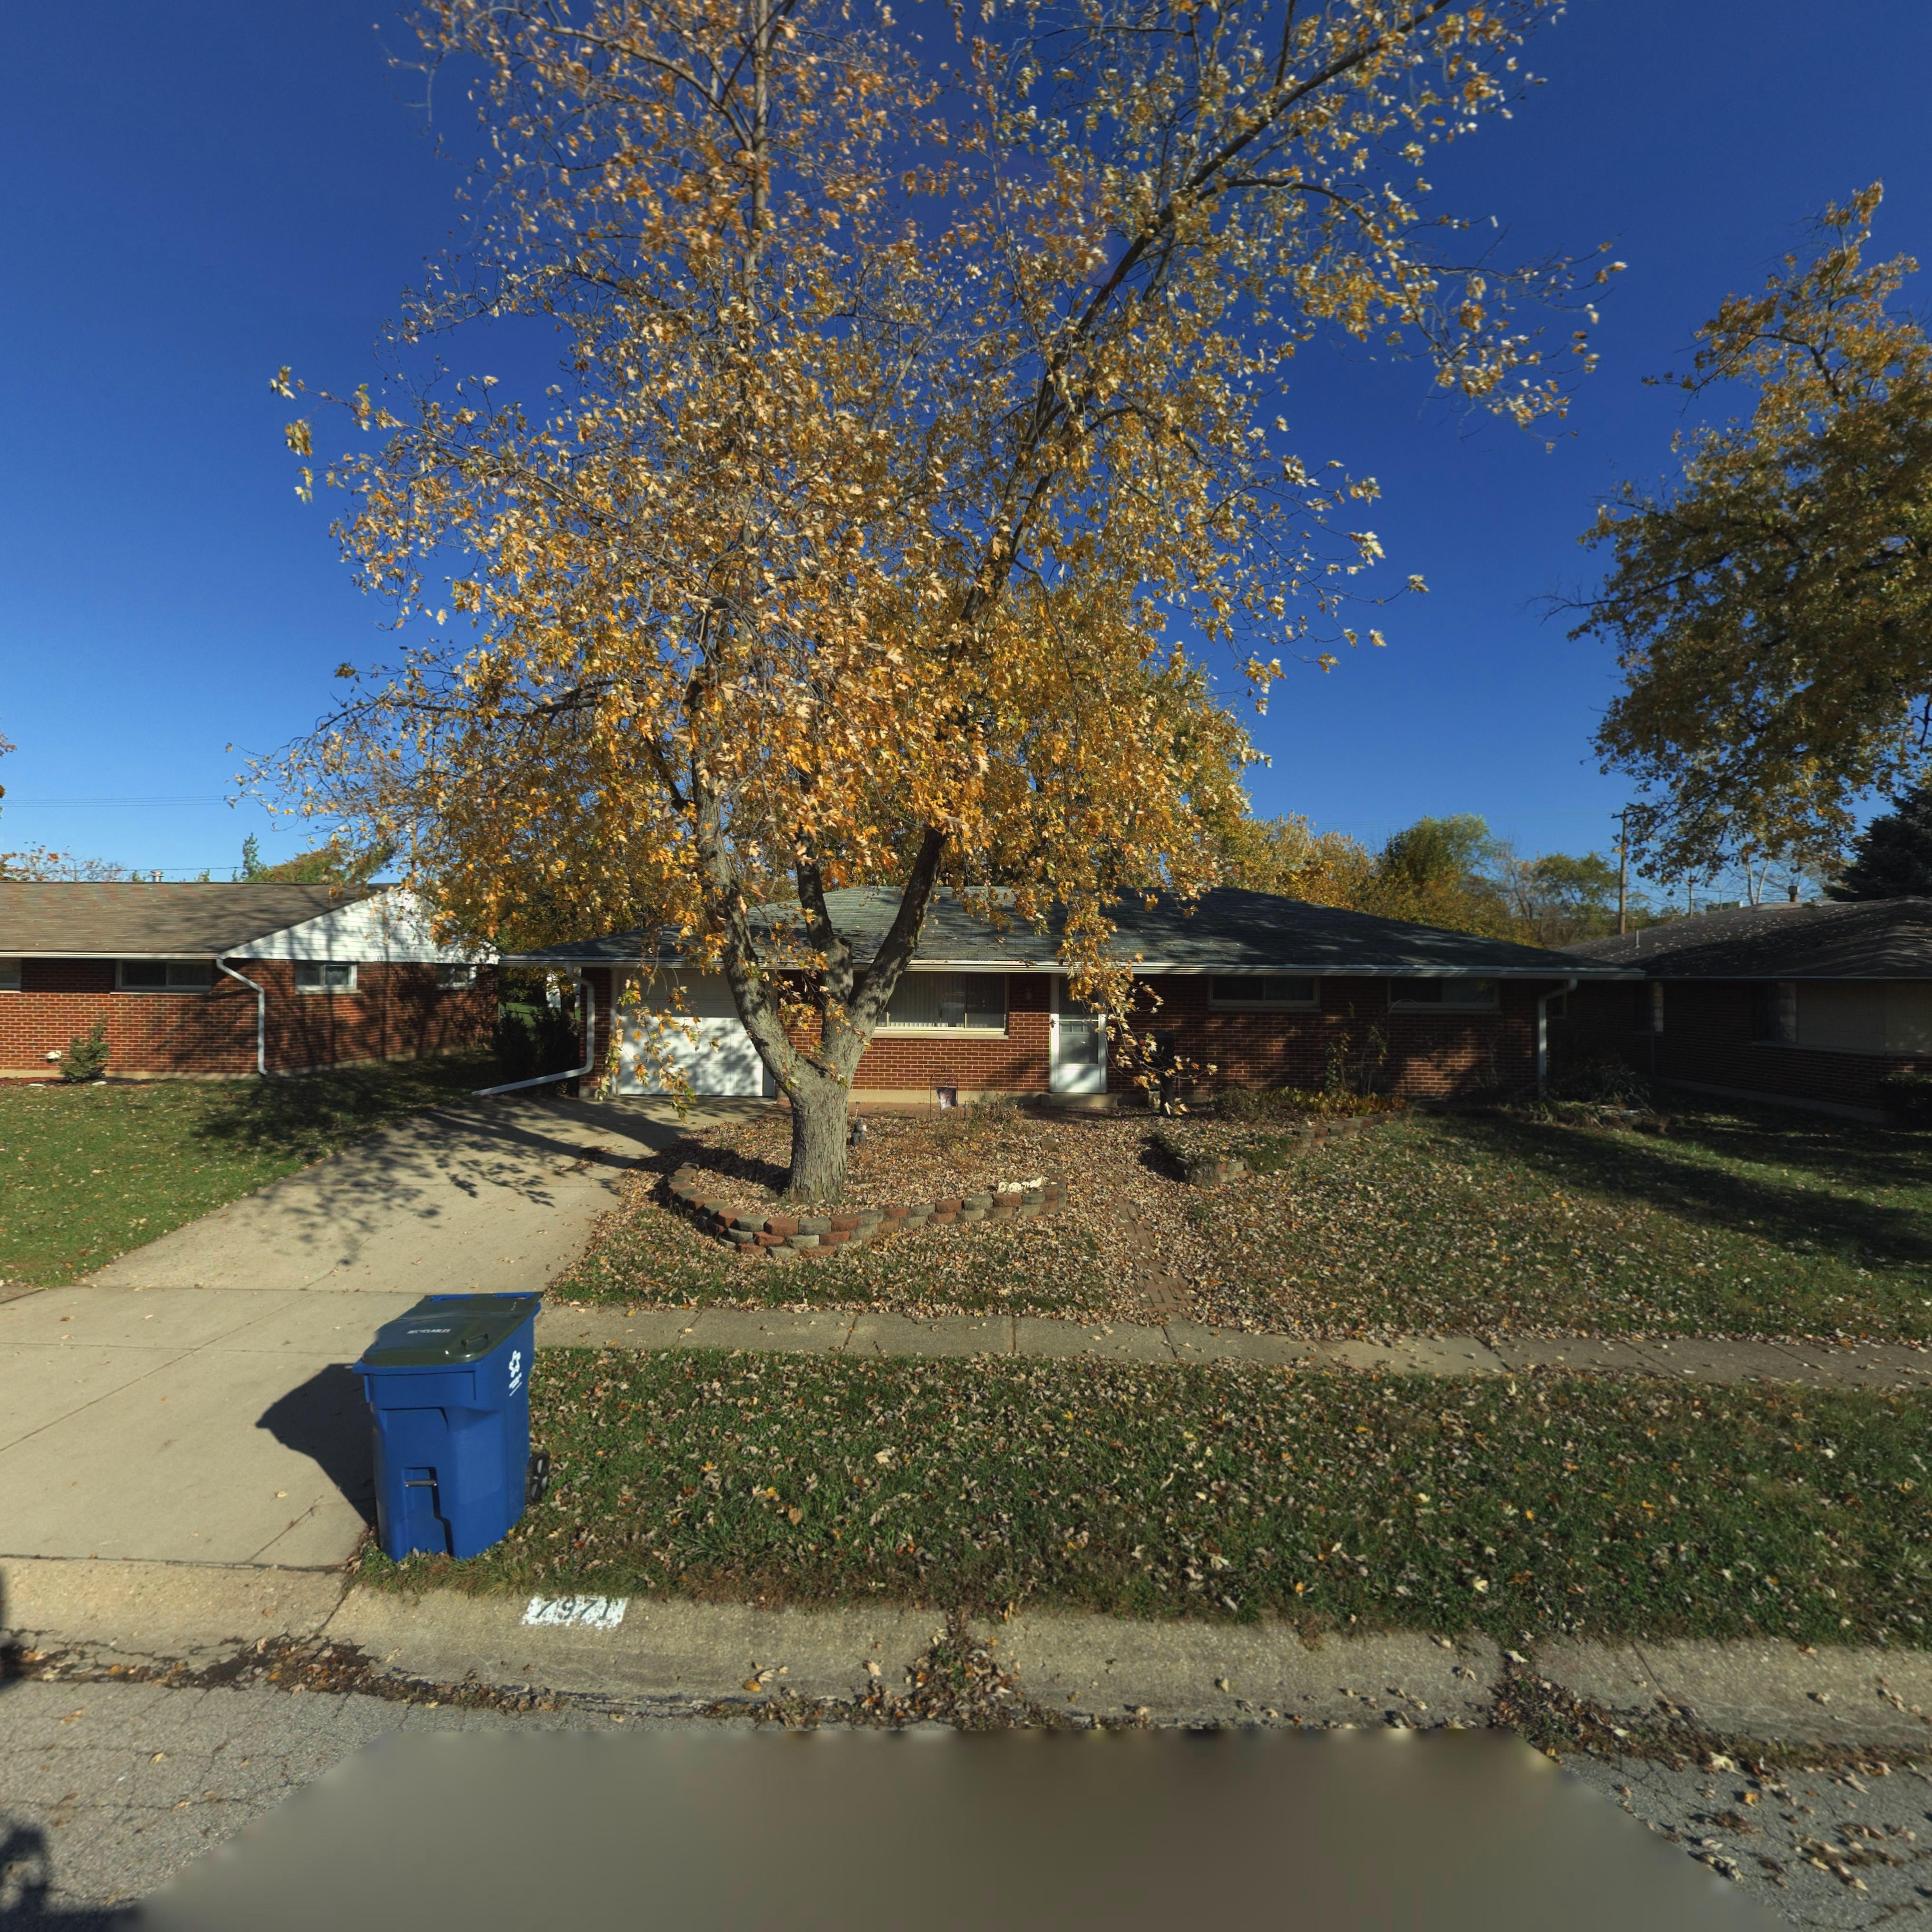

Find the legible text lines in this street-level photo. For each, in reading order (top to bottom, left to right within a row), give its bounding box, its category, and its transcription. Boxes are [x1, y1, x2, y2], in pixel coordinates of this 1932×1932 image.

[532, 1596, 614, 1623] StreetNumber: 7971